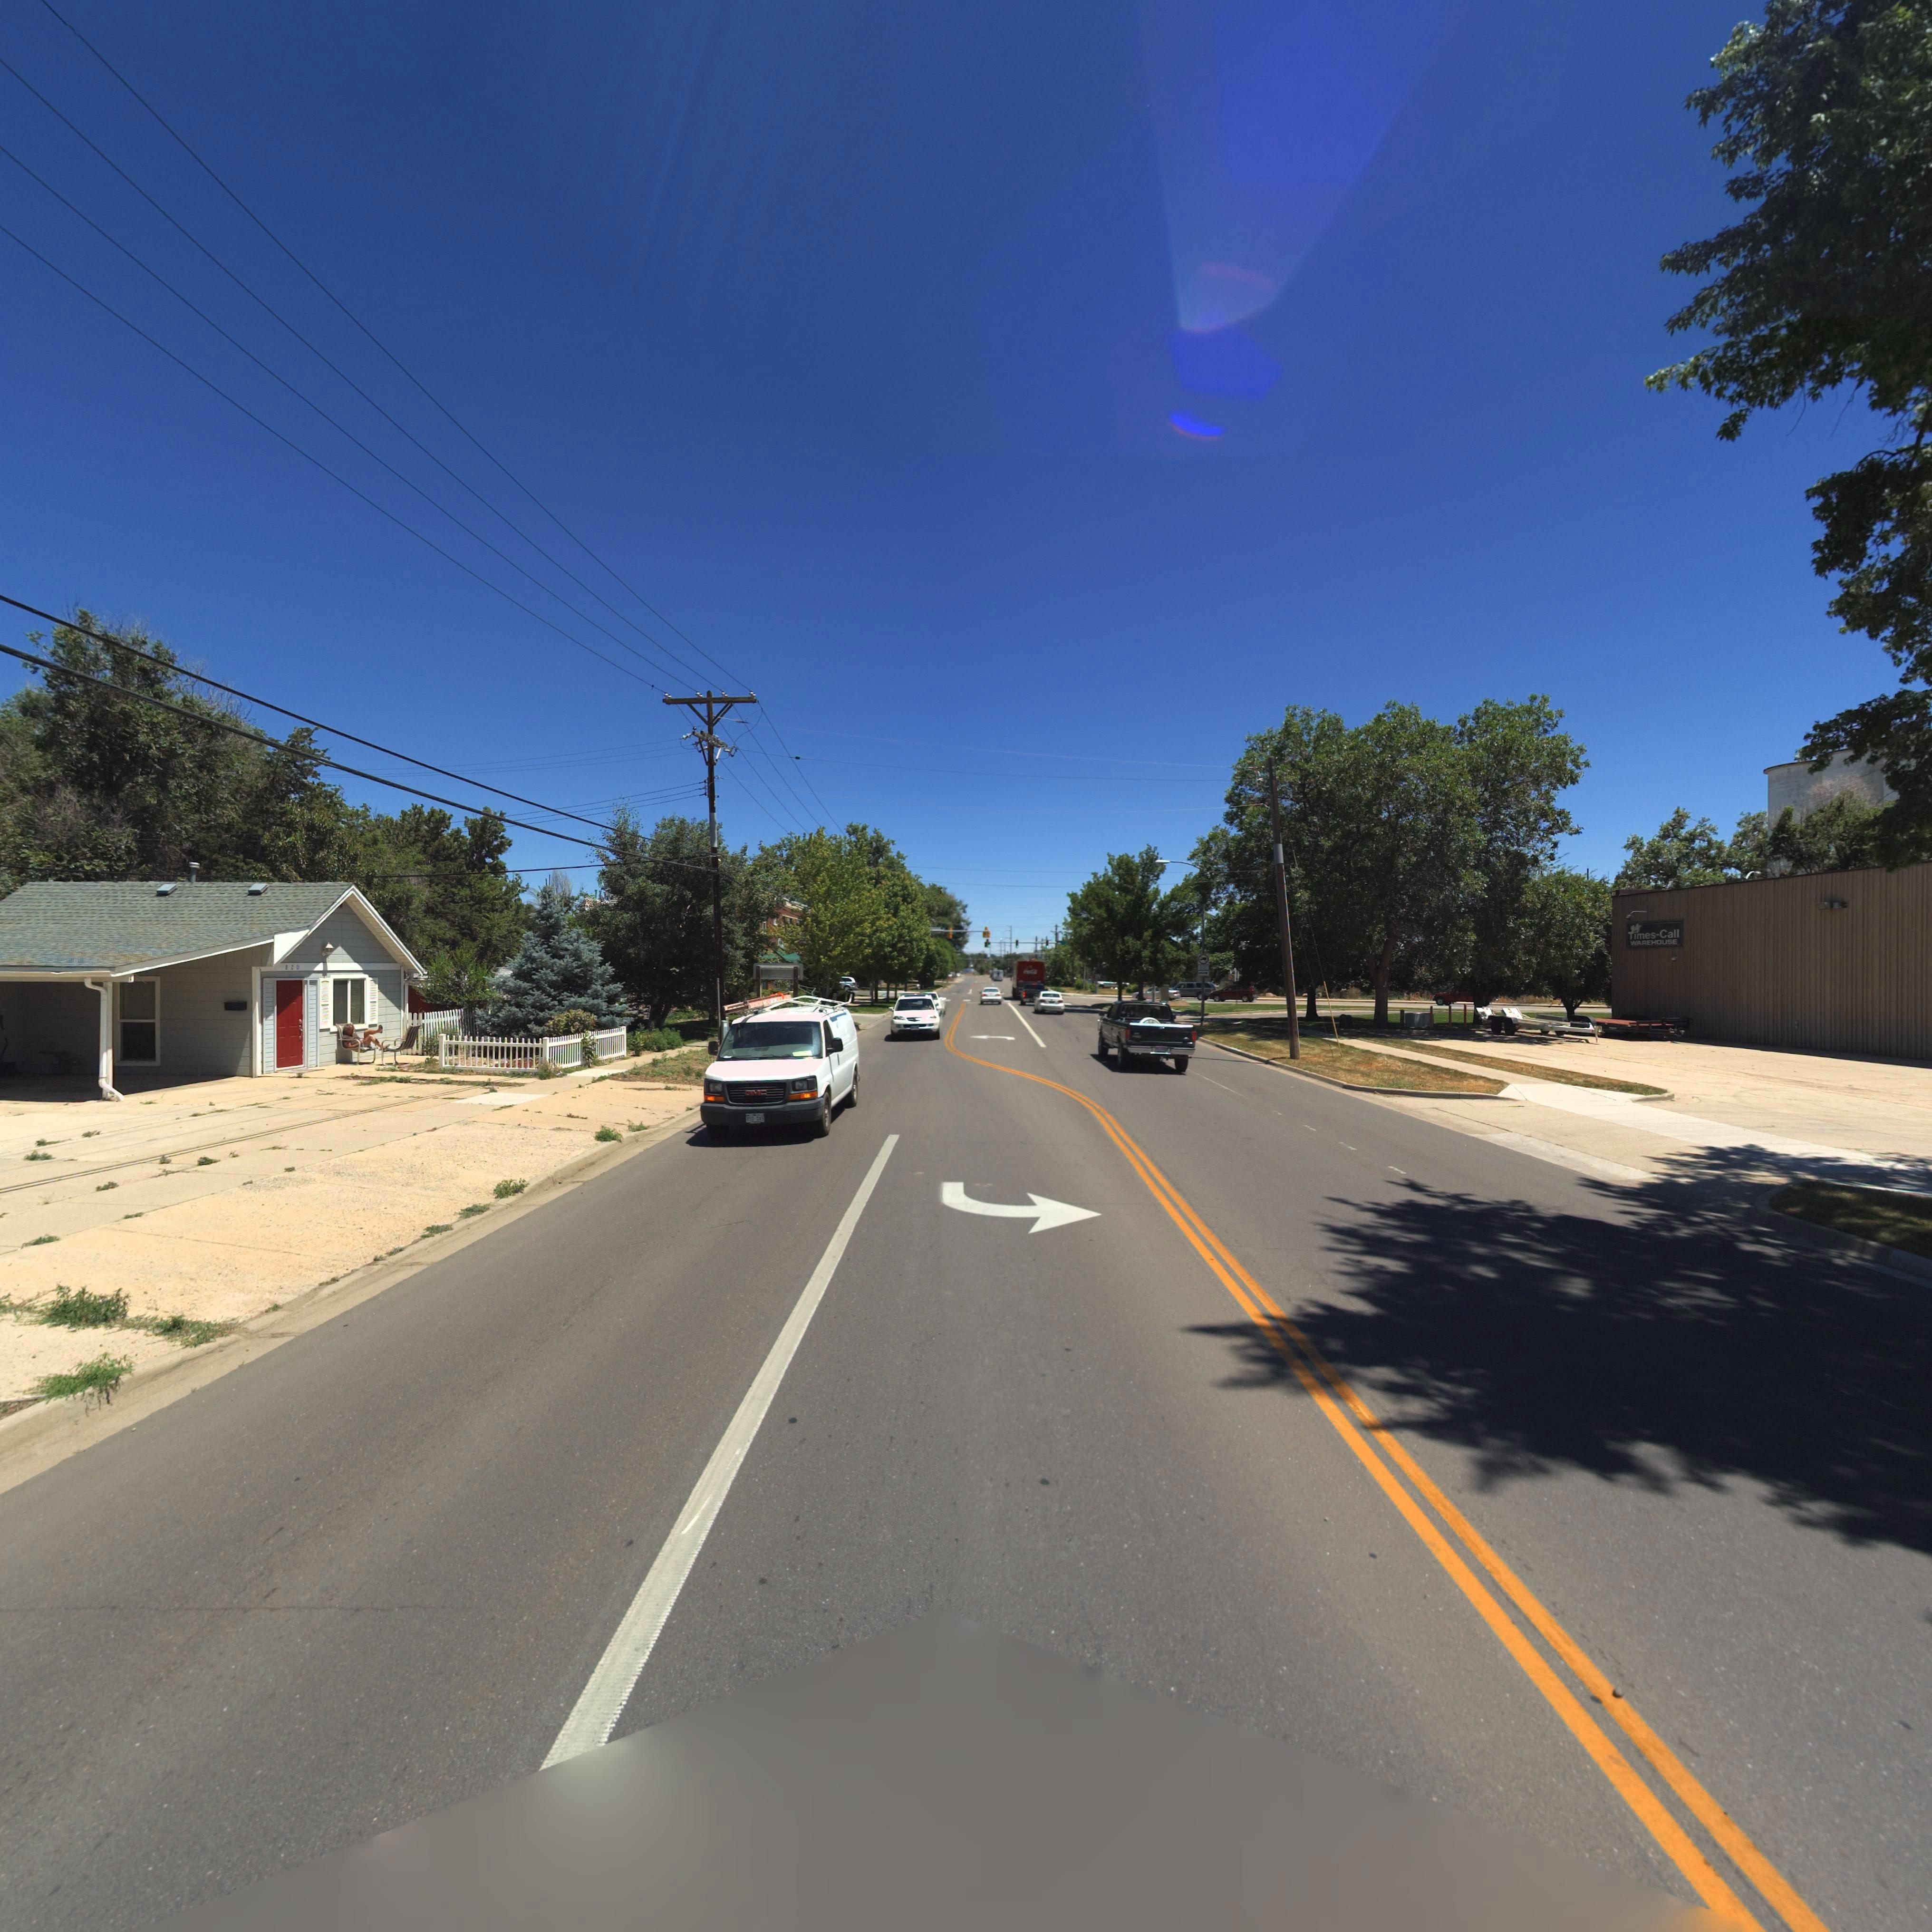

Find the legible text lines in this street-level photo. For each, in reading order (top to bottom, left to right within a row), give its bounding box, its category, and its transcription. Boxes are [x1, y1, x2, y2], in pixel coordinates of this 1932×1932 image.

[1627, 928, 1680, 940] BusinessName: Times-Call
[1629, 938, 1678, 946] BusinessName: WAREHOUSE
[284, 964, 299, 970] StreetNumber: 820